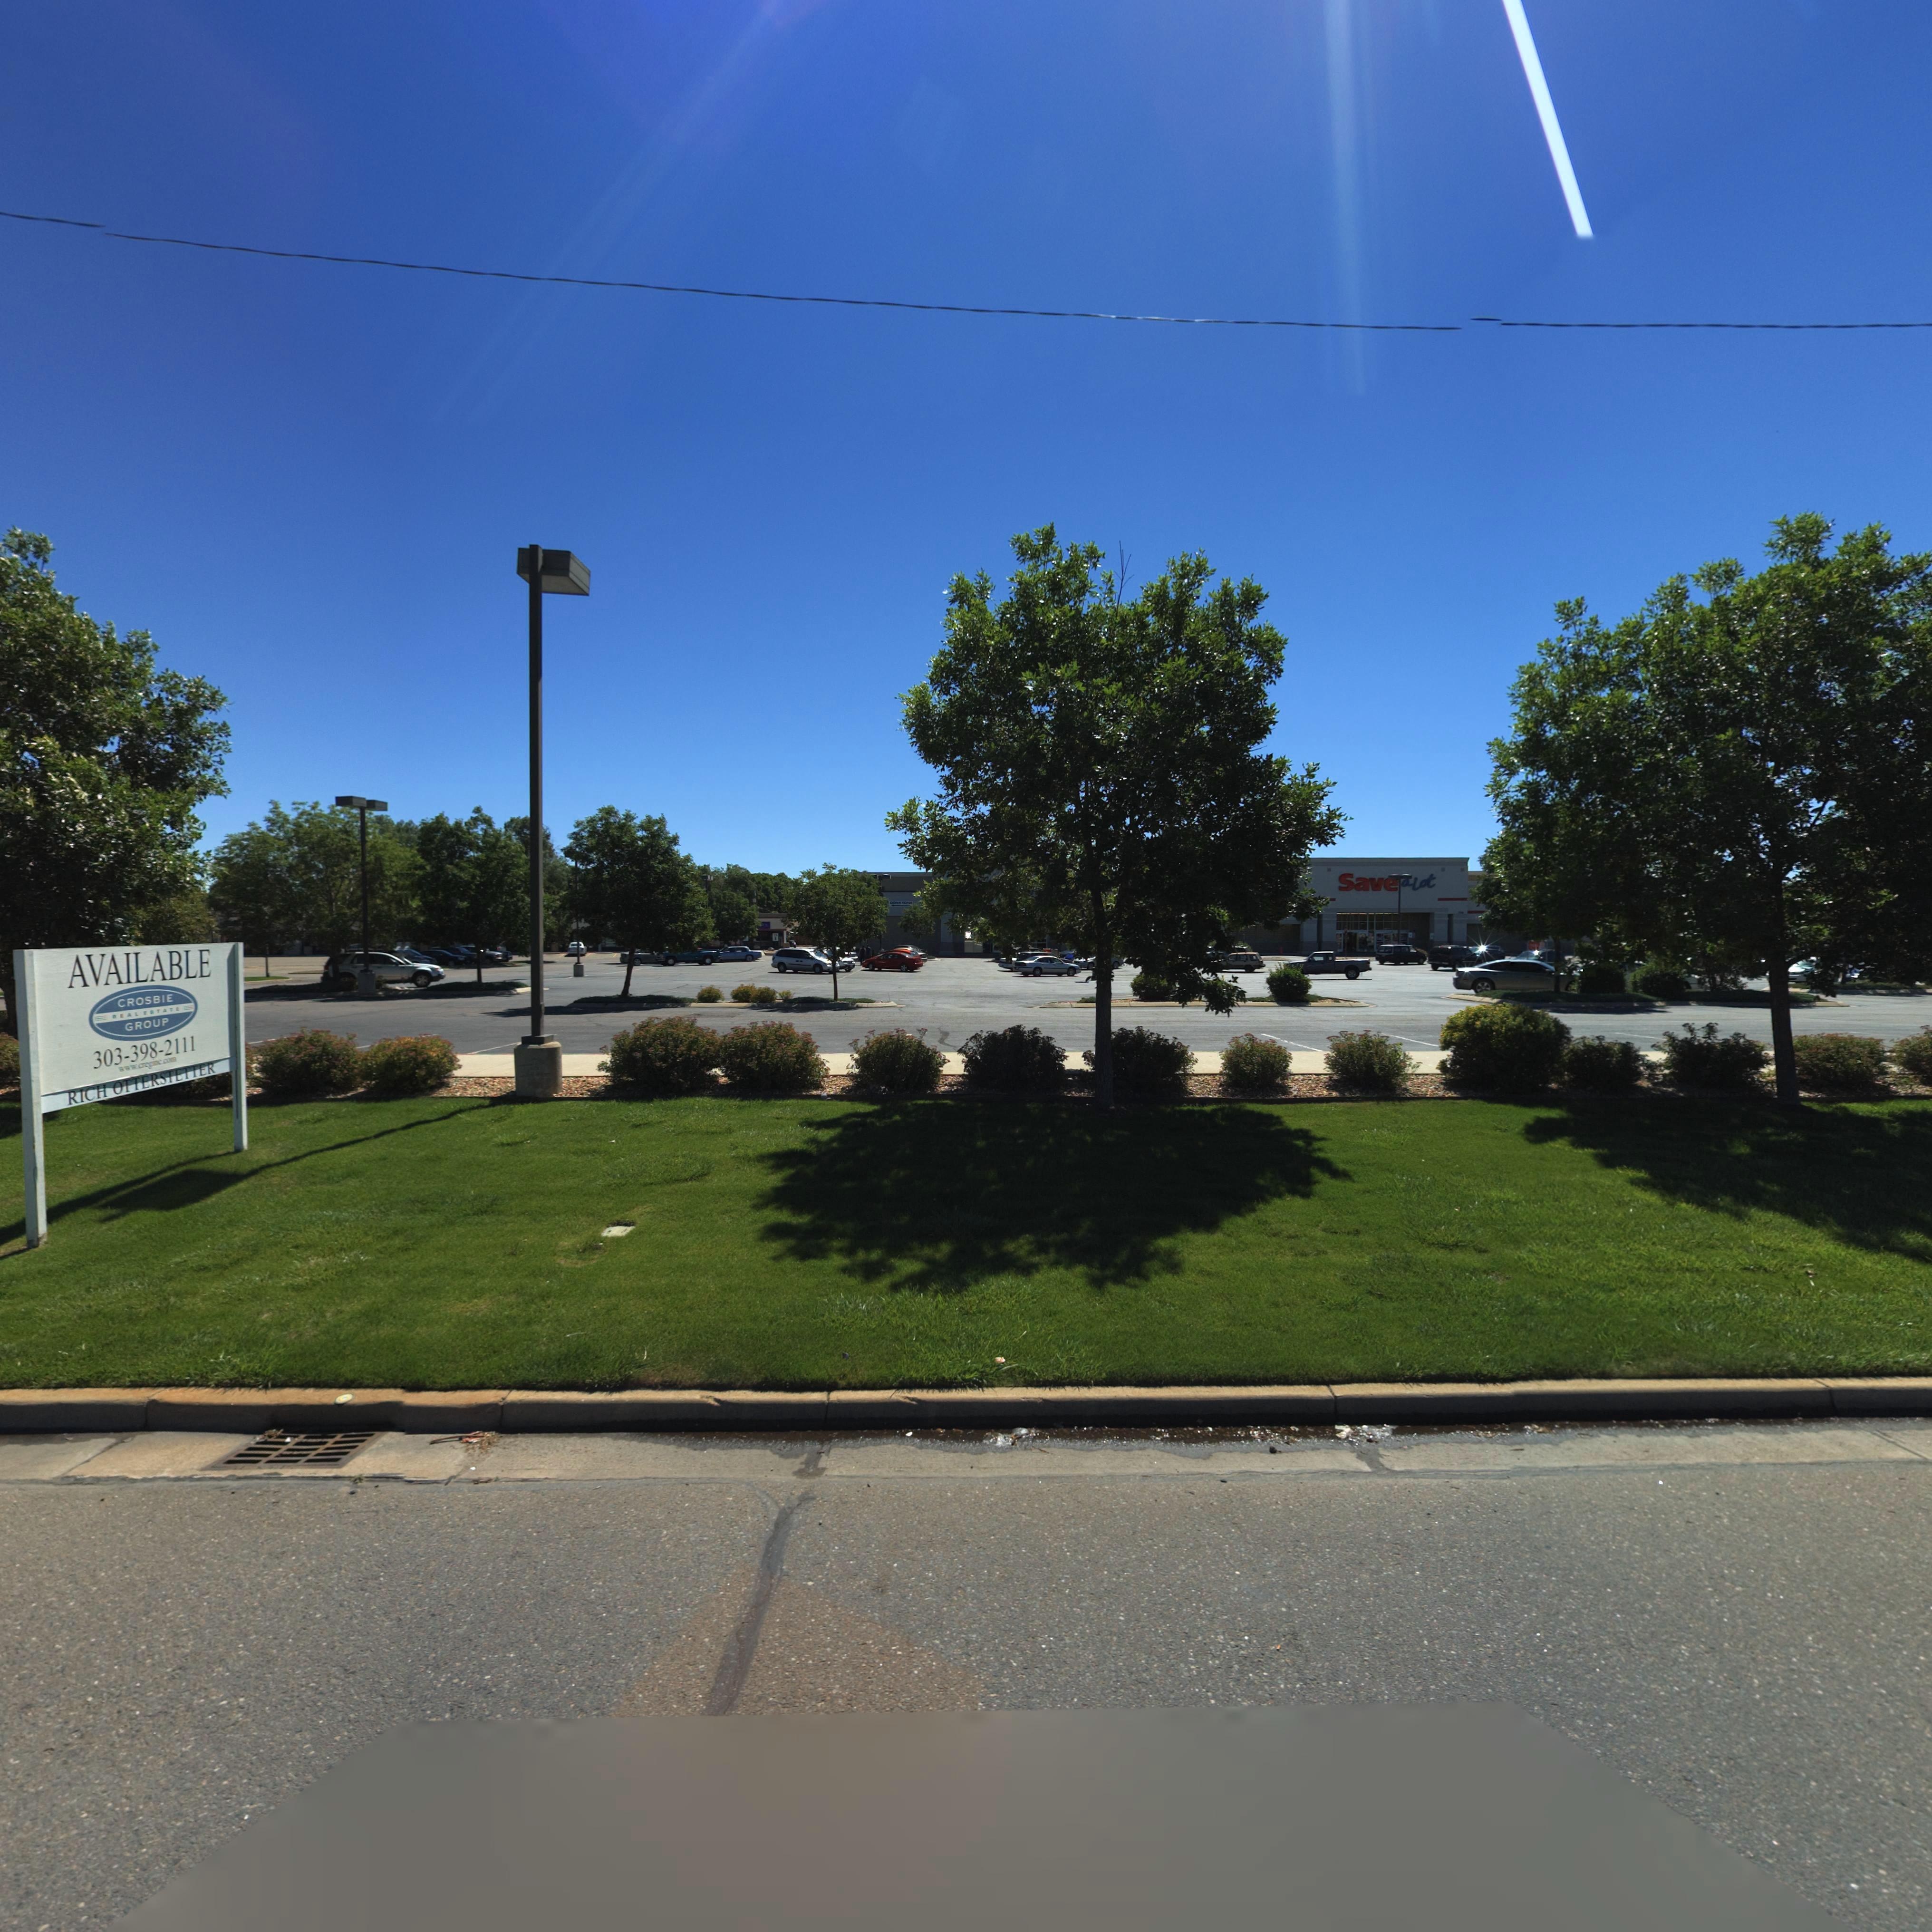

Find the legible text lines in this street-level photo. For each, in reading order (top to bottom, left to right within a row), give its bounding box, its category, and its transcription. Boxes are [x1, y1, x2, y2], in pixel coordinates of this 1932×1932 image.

[1338, 872, 1438, 892] BusinessName: SaveaLoT